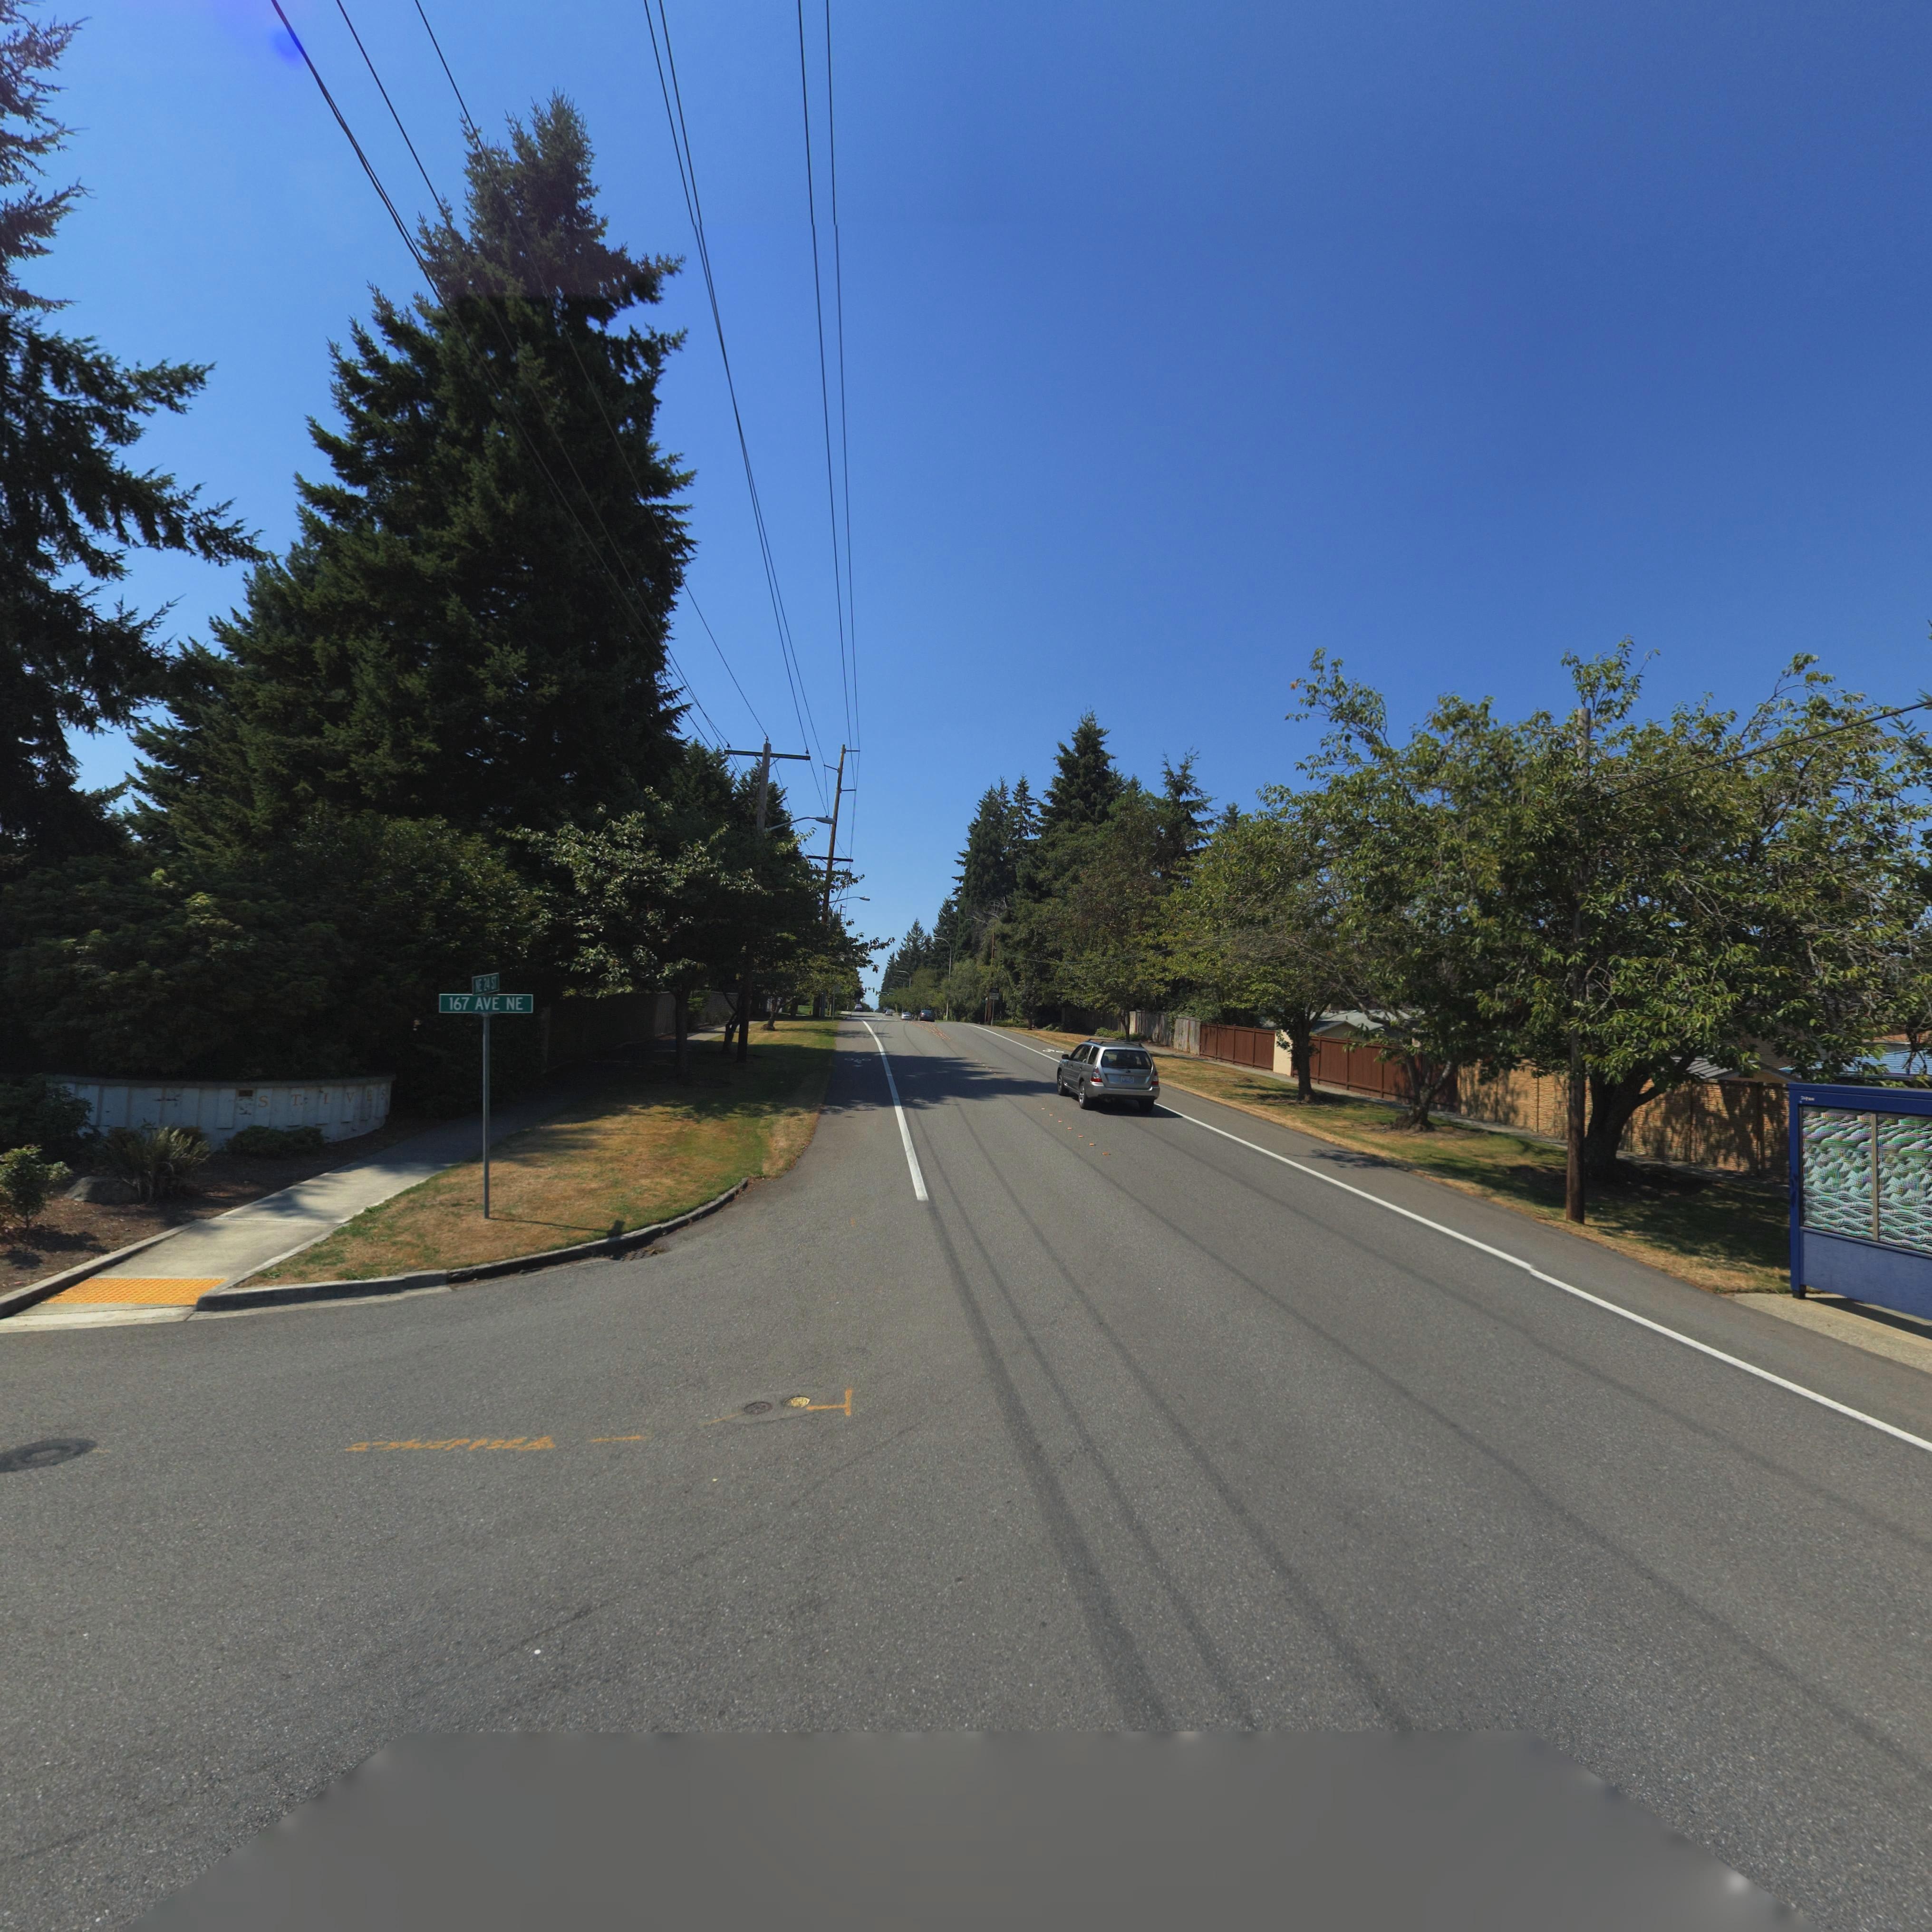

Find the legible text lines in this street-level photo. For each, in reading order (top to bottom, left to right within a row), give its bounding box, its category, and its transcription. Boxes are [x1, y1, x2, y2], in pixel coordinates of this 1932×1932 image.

[474, 975, 497, 993] StreetName: *E 24 S*
[449, 997, 523, 1010] StreetName: 167 AVE NE